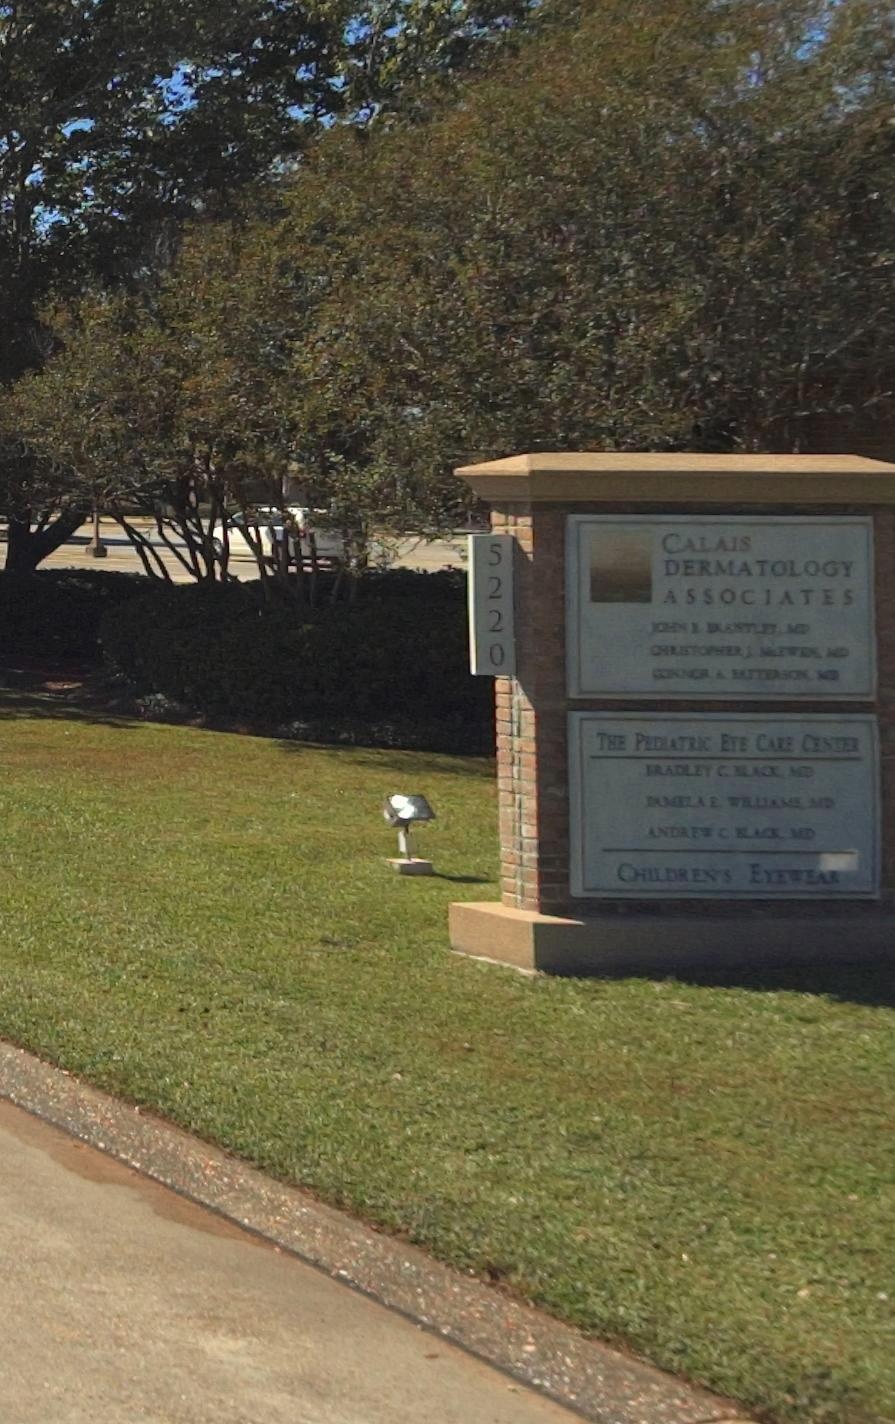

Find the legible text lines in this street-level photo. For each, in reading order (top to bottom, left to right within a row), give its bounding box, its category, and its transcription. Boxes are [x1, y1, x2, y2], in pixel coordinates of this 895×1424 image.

[661, 530, 754, 557] BusinessName: CALAIS
[661, 555, 857, 579] BusinessName: DERMATOLOGY
[485, 541, 506, 669] StreetNumber: 5220
[660, 585, 856, 608] BusinessName: ASSOCIATES
[645, 619, 813, 637] None: JOHN B B*ANTL**, MD
[646, 641, 852, 660] None: CHRISTOPHER J ***W**, MD
[648, 665, 842, 684] None: CONNOR * **TT**SON, MD
[595, 729, 863, 758] BusinessName: THE PEDIATRIC EYE CARE CENTER
[642, 761, 816, 782] None: BRADLEY C. BLACK, MD
[643, 792, 838, 812] None: PAMELA E. WILLIAMS, MD
[642, 824, 818, 841] None: ANDREW C BLACK, MD
[614, 861, 844, 887] None: CHILDREN'S EYEWEAR